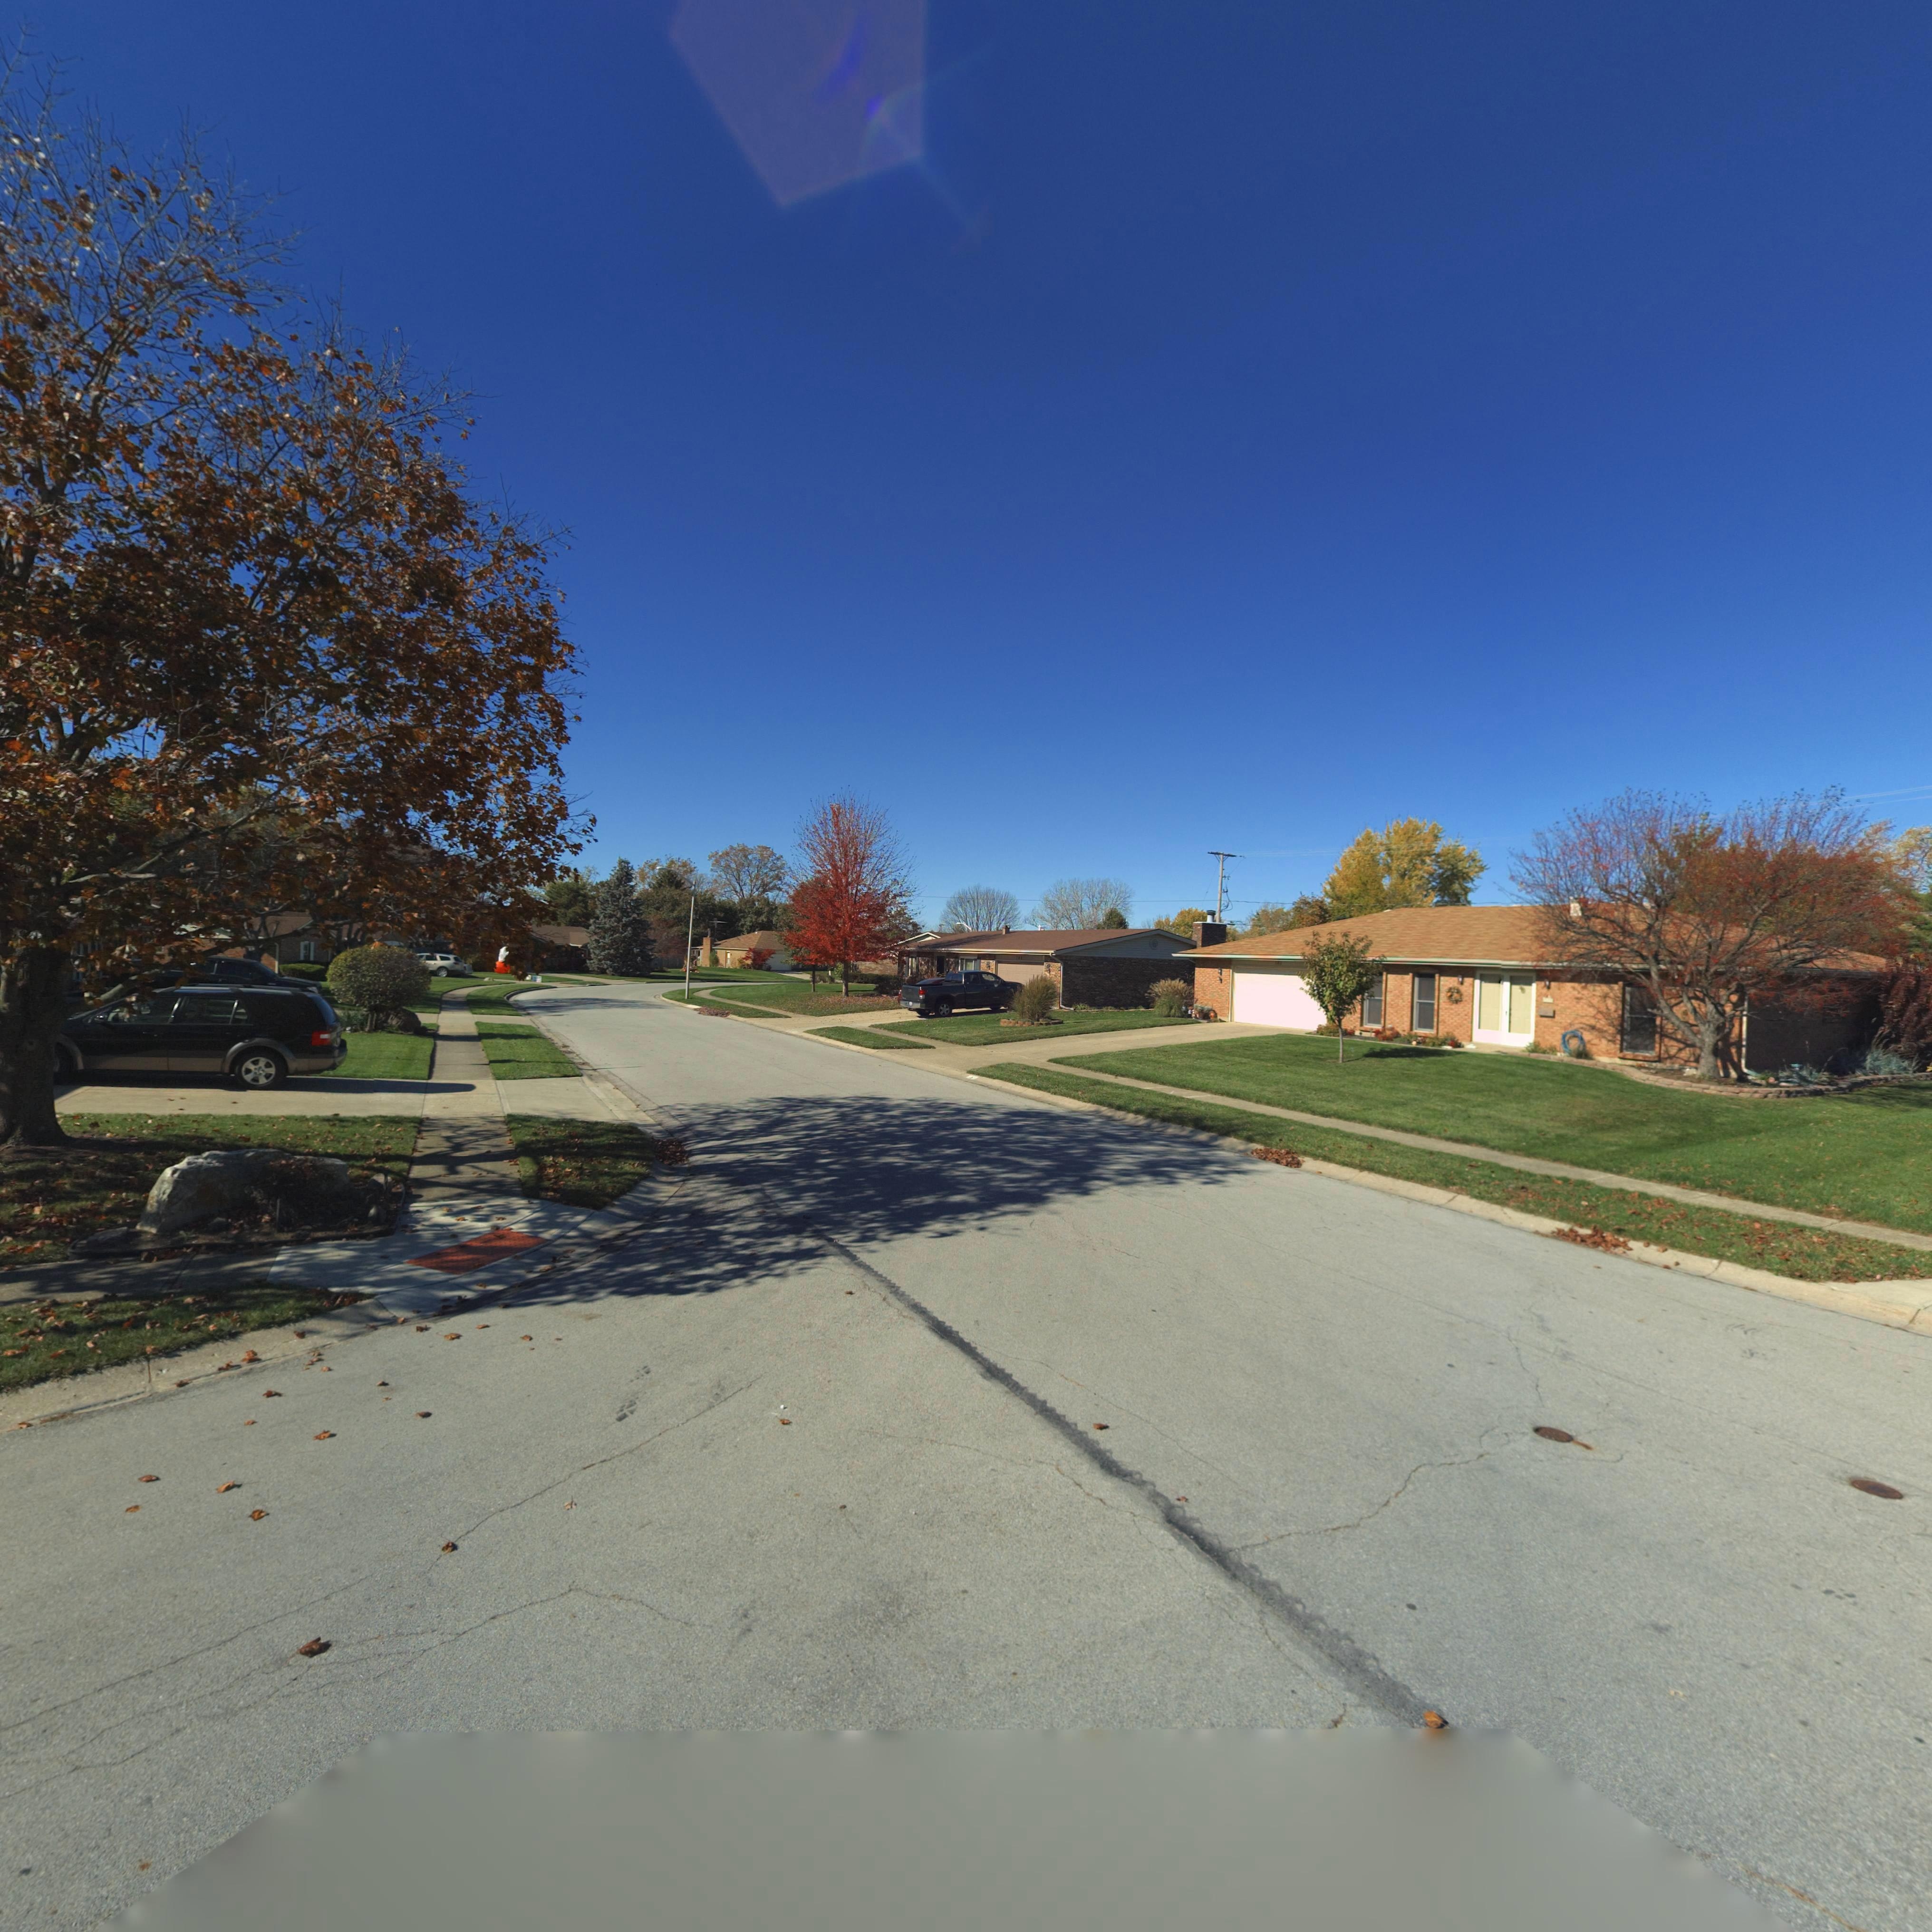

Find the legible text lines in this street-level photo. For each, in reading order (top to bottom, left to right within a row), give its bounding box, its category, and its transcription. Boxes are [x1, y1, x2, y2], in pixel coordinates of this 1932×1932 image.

[1274, 961, 1283, 965] StreetNumber: 702